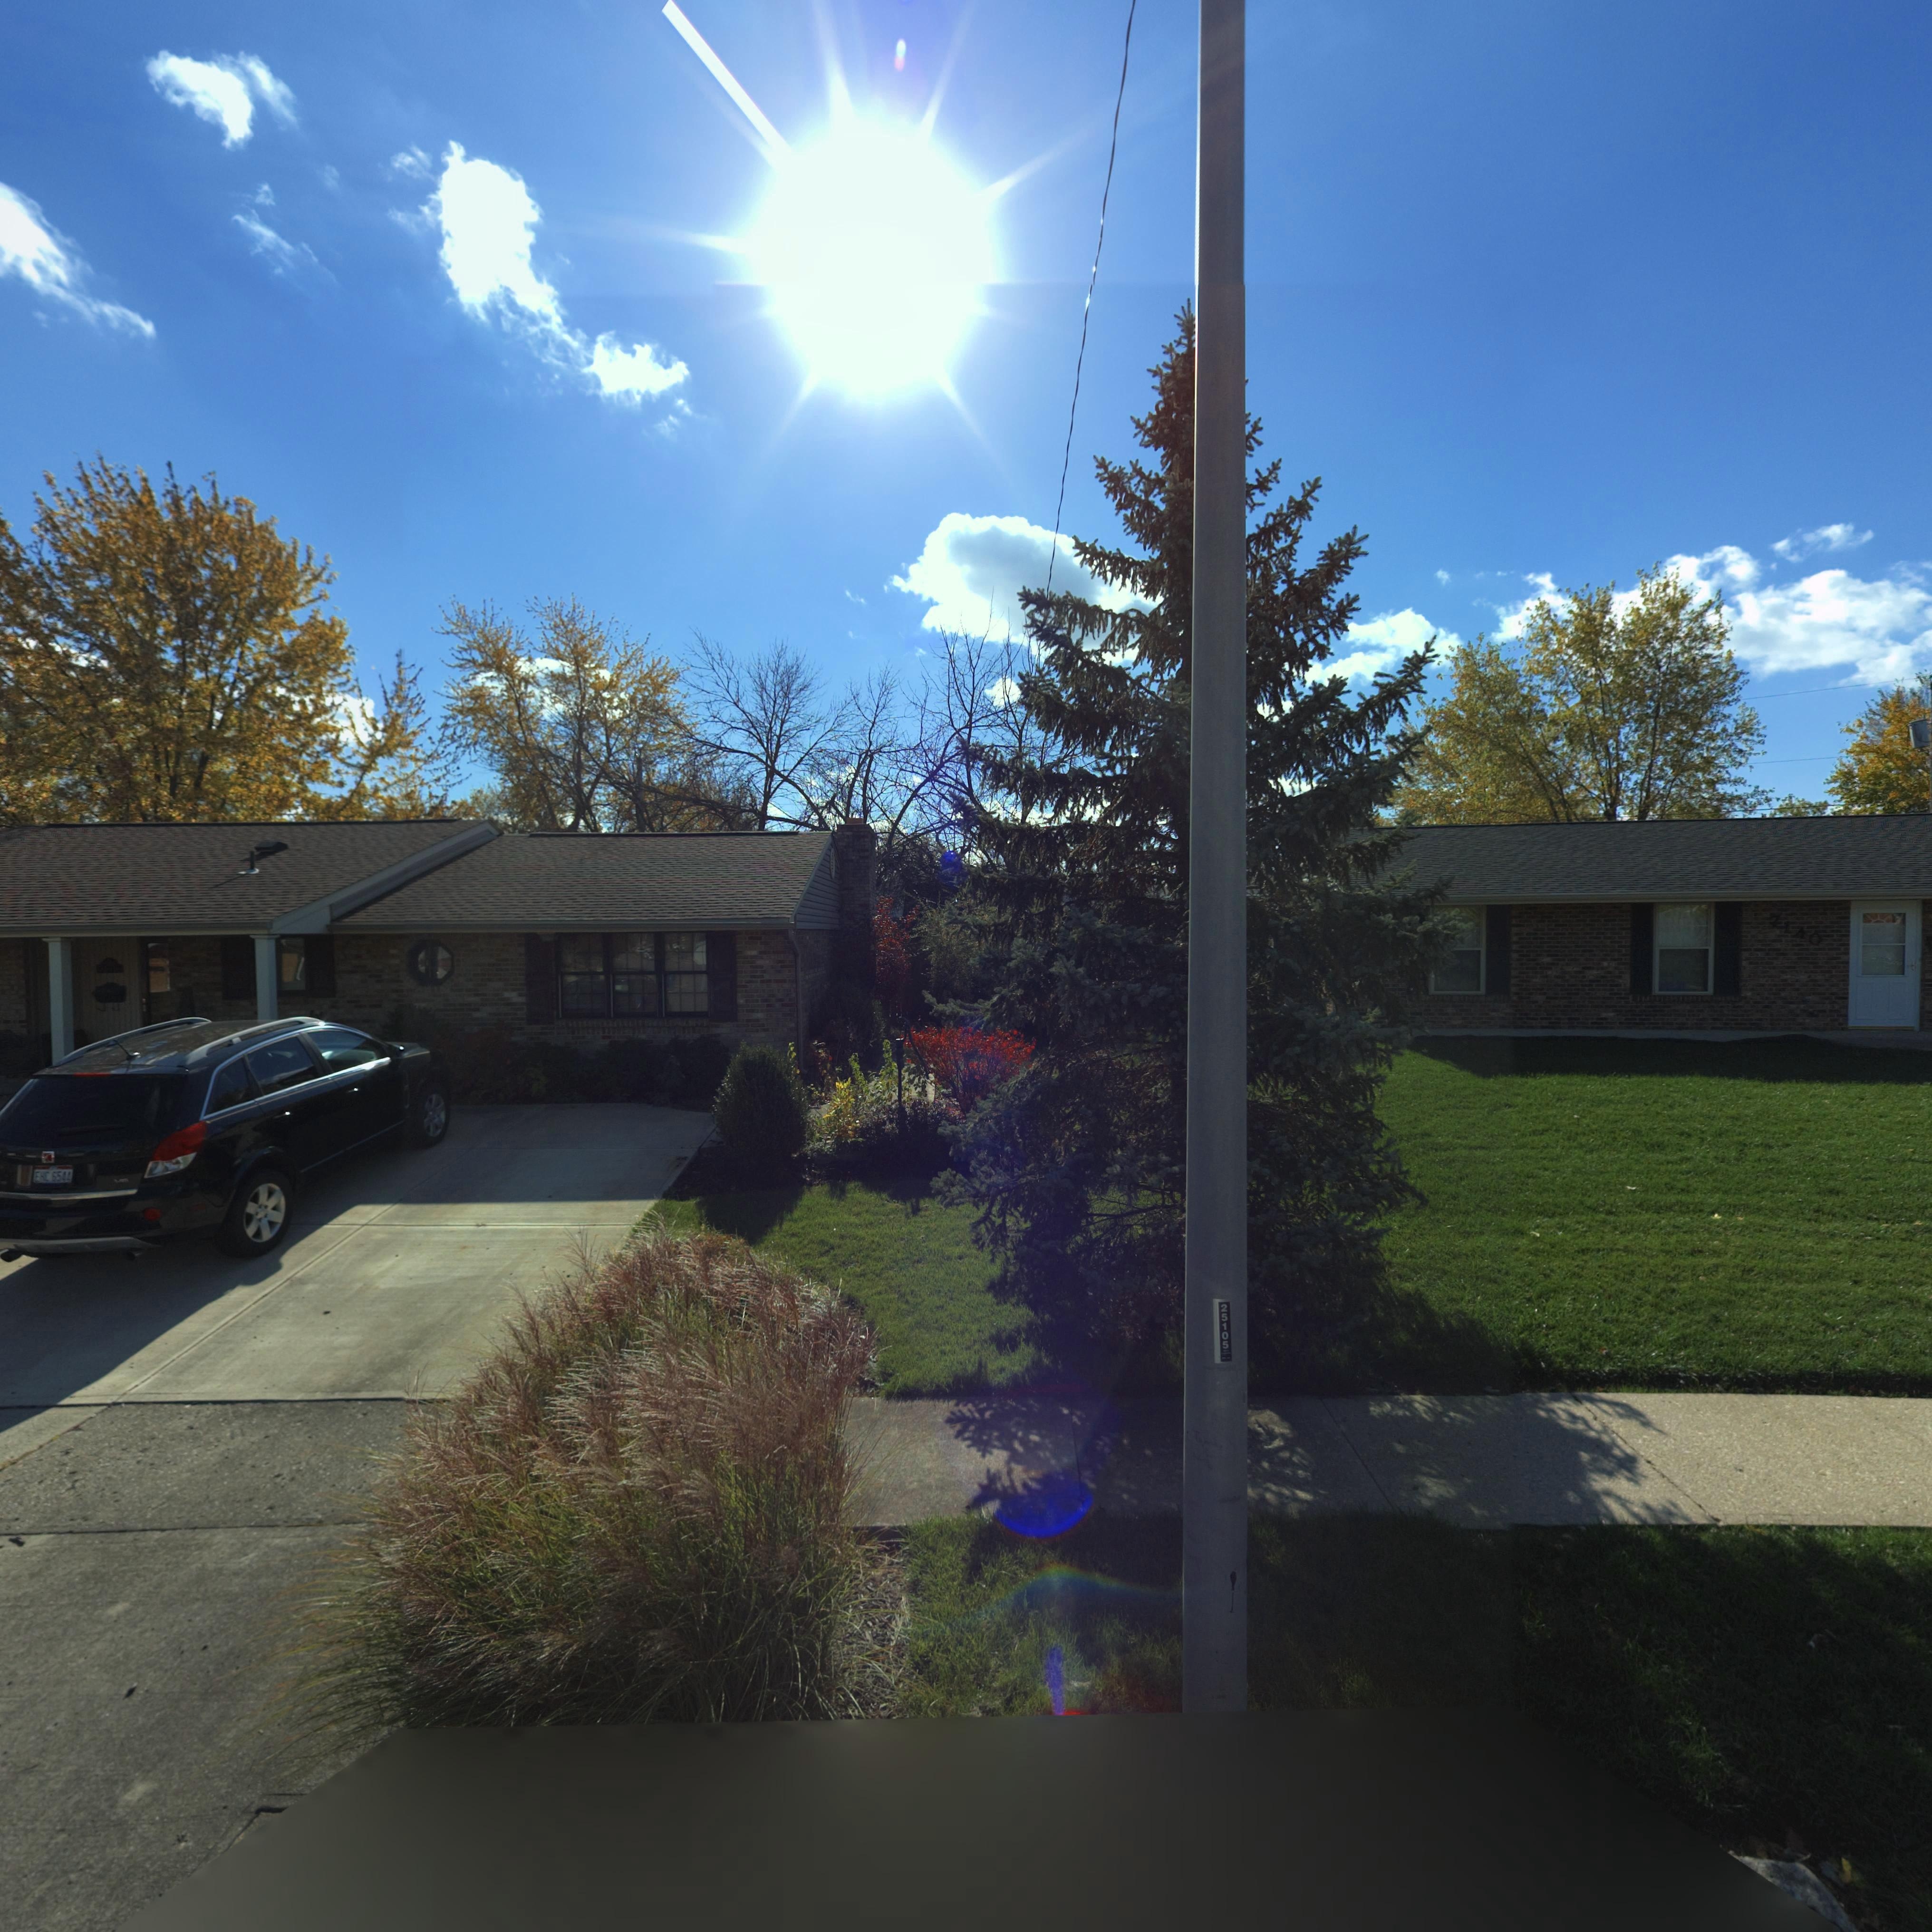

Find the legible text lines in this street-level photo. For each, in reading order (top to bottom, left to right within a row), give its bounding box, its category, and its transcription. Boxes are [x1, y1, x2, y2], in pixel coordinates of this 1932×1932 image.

[1769, 914, 1823, 947] StreetNumber: 7140